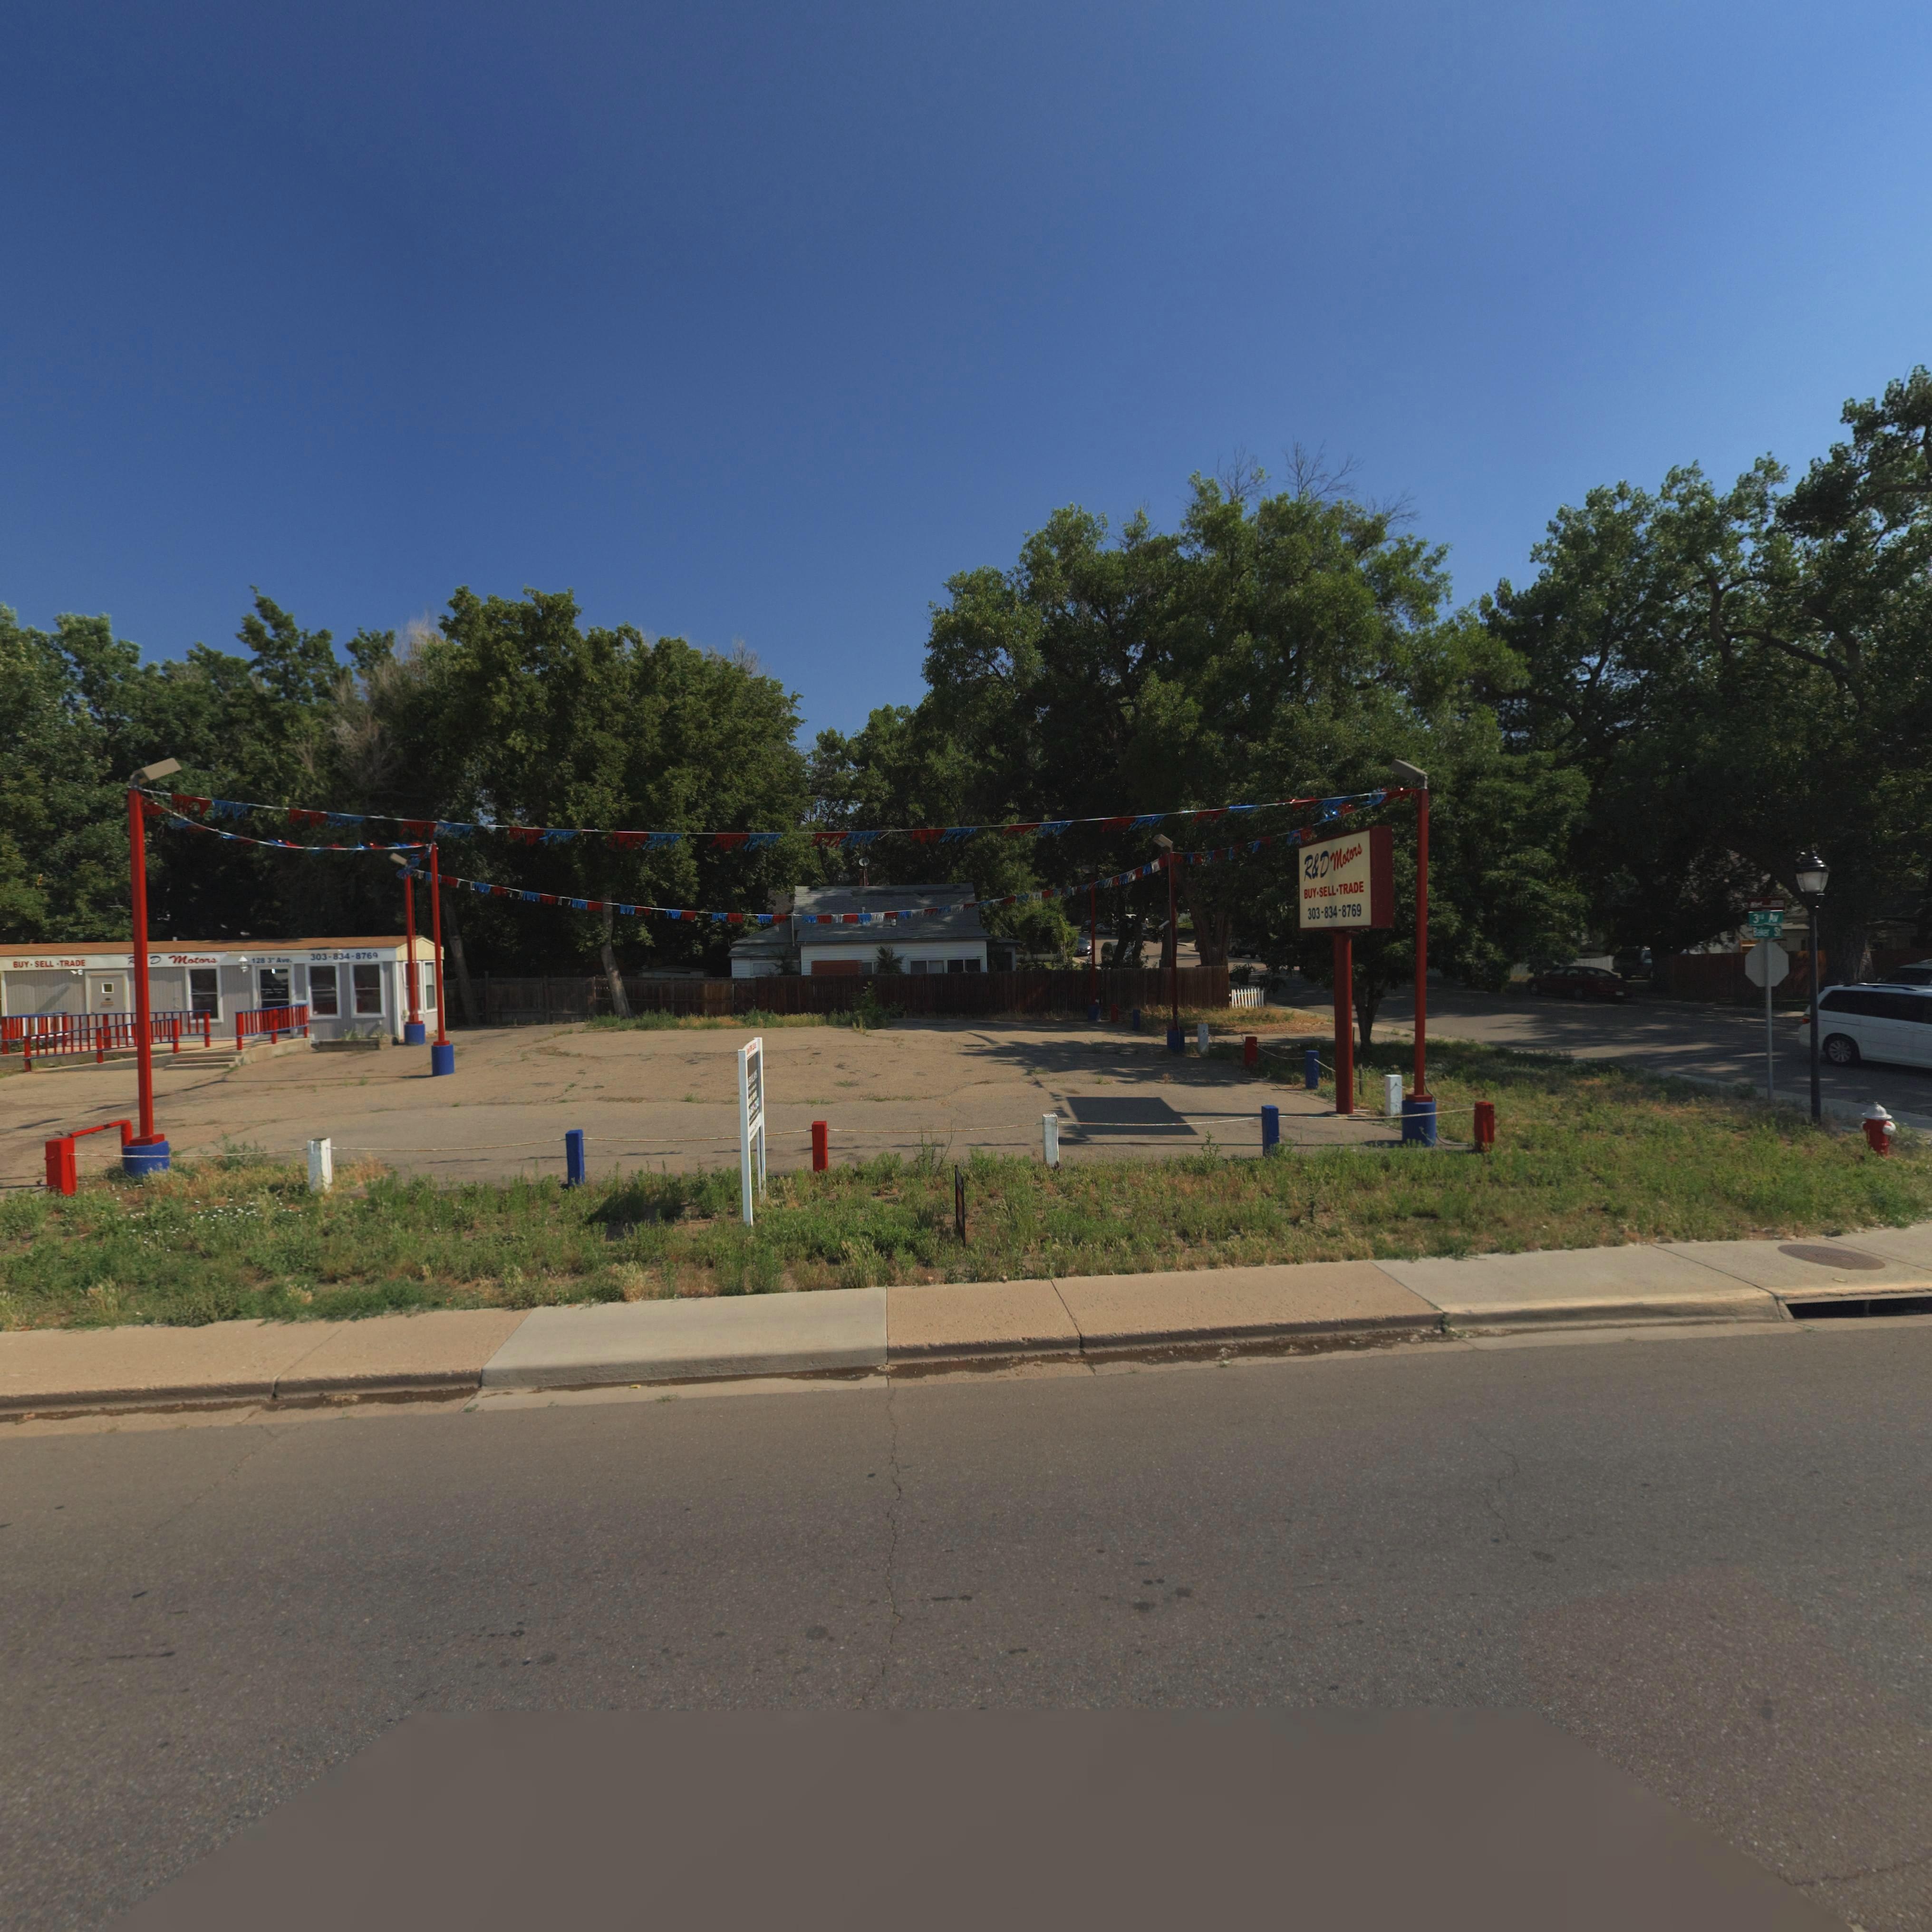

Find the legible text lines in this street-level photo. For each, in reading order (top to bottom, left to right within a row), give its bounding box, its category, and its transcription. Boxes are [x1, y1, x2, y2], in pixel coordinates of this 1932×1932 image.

[1329, 842, 1363, 872] BusinessName: Motors
[1303, 849, 1330, 882] BusinessName: R*D
[1752, 912, 1779, 923] StreetName: 3rd Av
[1753, 925, 1781, 937] StreetName: Baker St
[126, 955, 162, 965] BusinessName: * * D
[167, 954, 218, 964] BusinessName: Motors
[251, 956, 265, 964] StreetNumber: 128
[266, 956, 290, 963] StreetName: 3* Ave